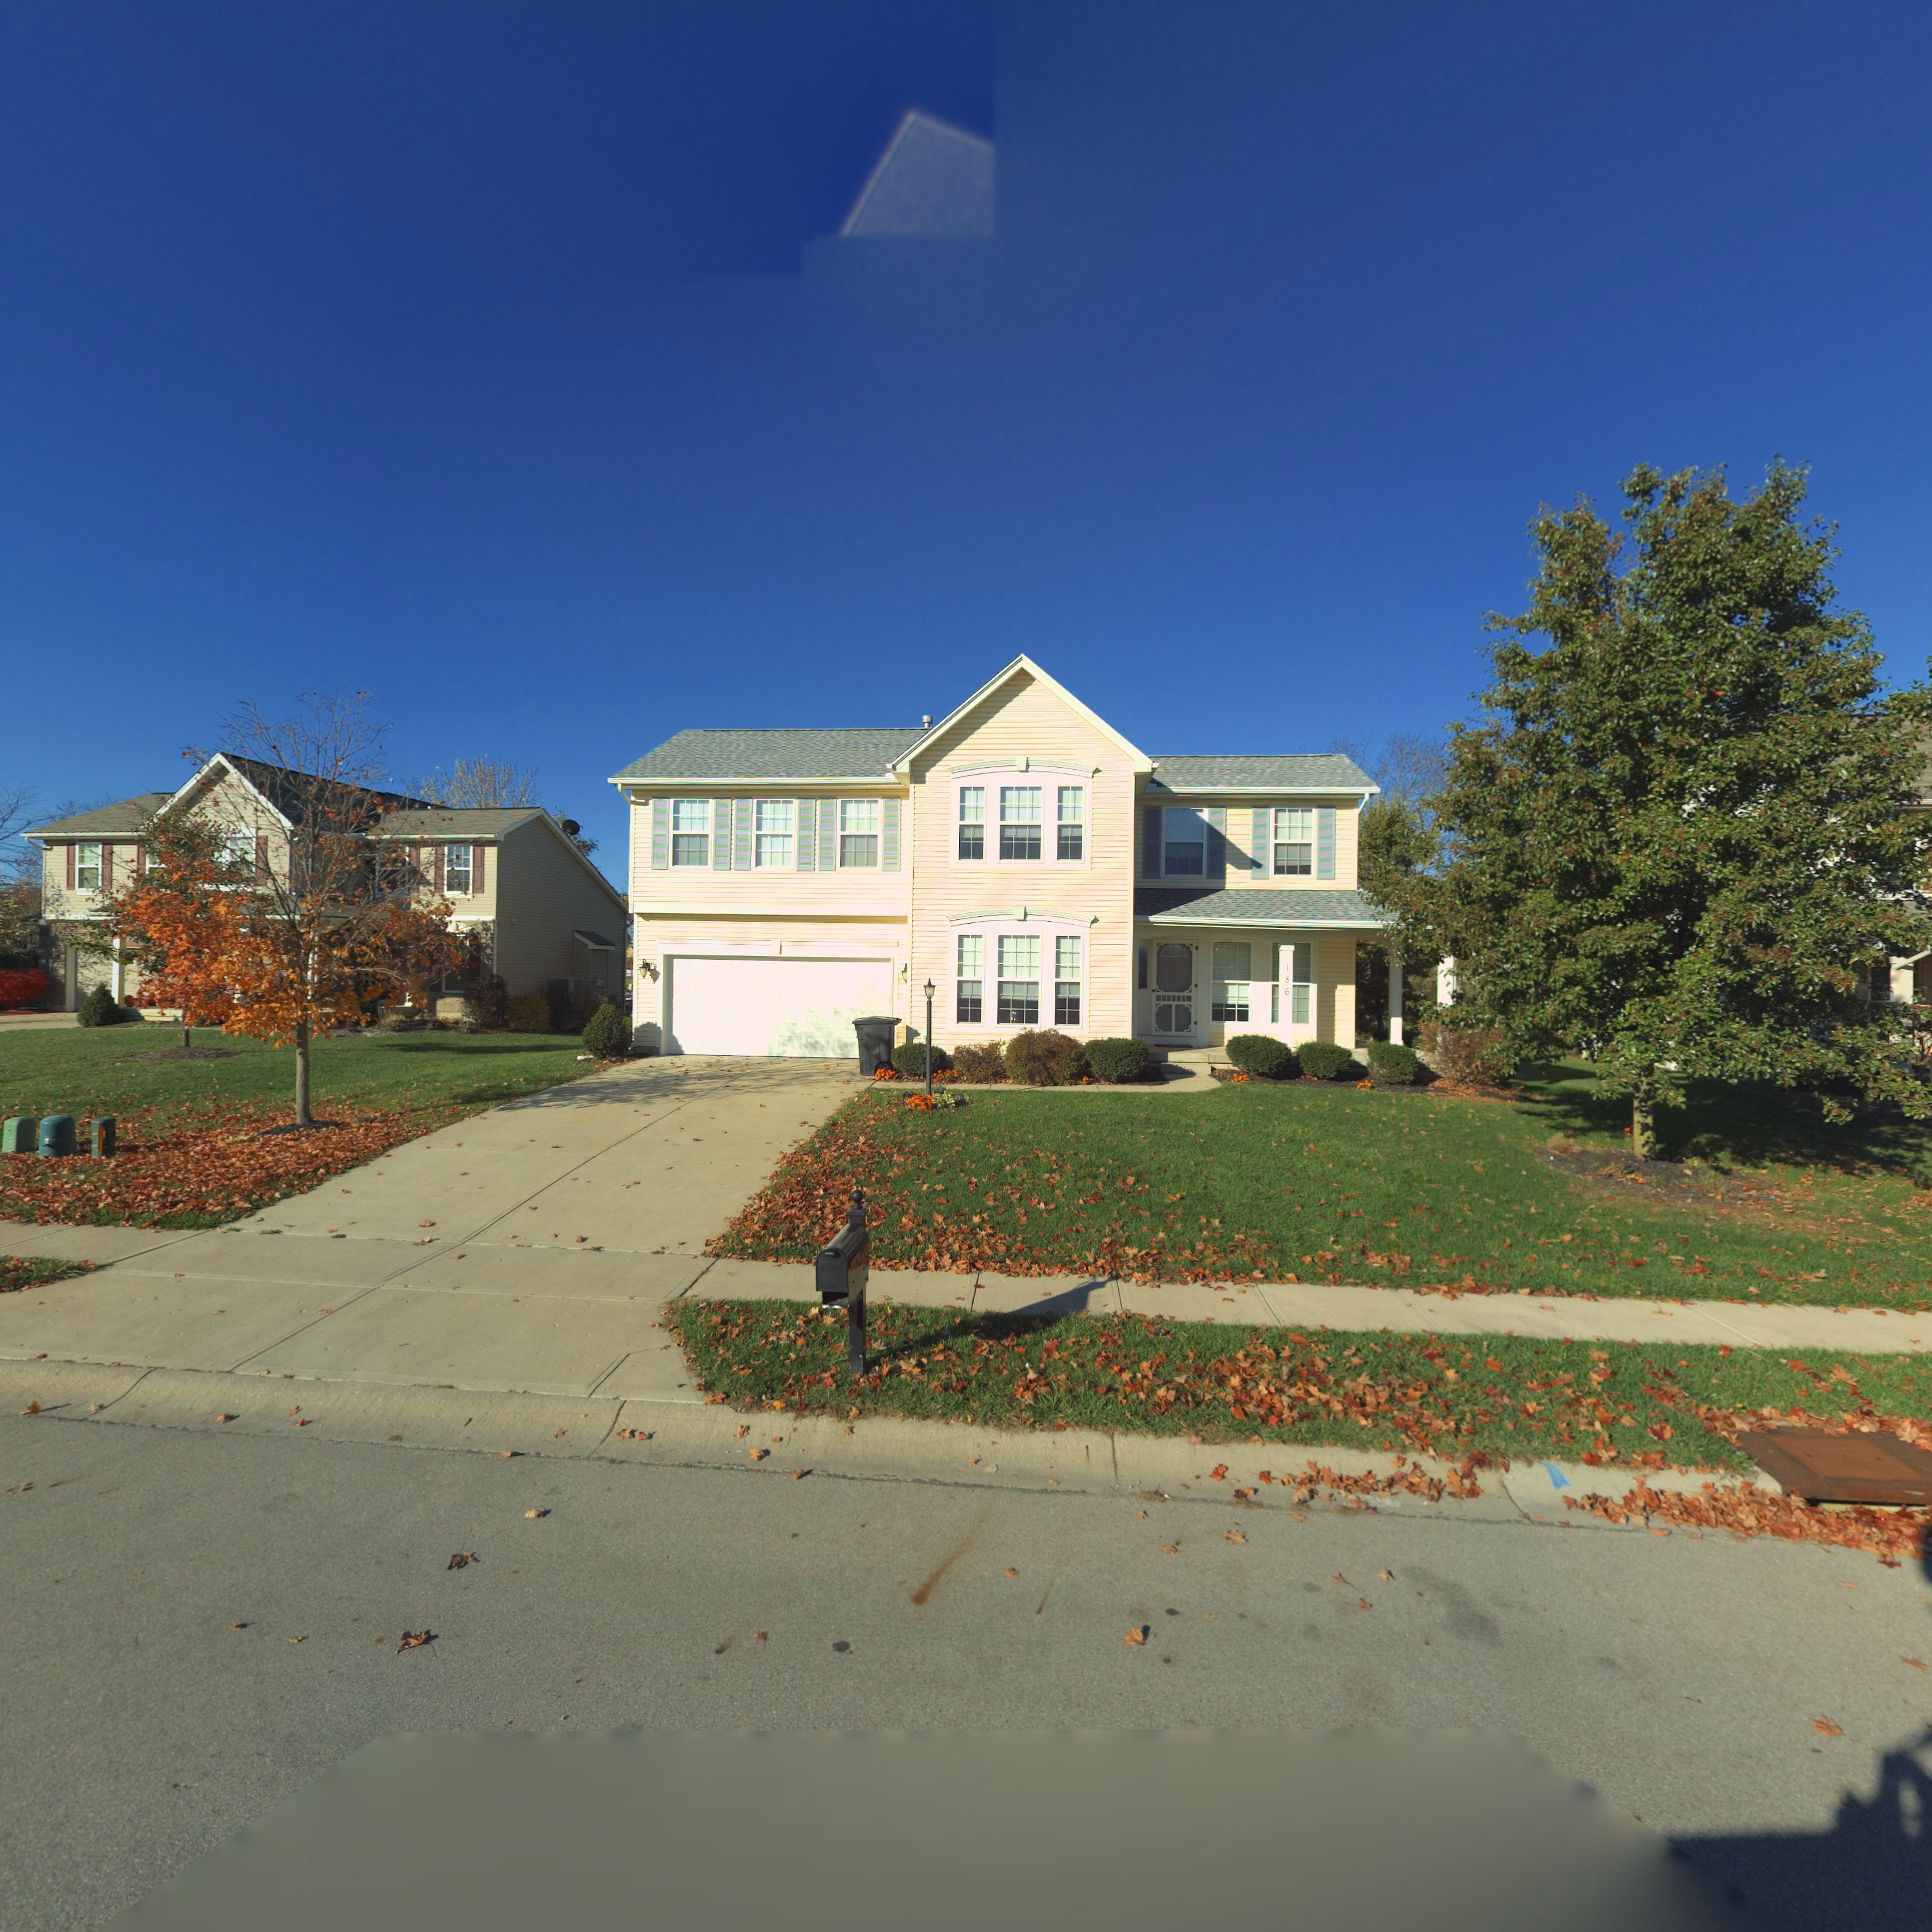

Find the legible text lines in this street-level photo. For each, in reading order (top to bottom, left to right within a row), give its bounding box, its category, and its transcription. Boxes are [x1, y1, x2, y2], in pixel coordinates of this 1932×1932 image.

[1284, 963, 1291, 996] StreetNumber: 186